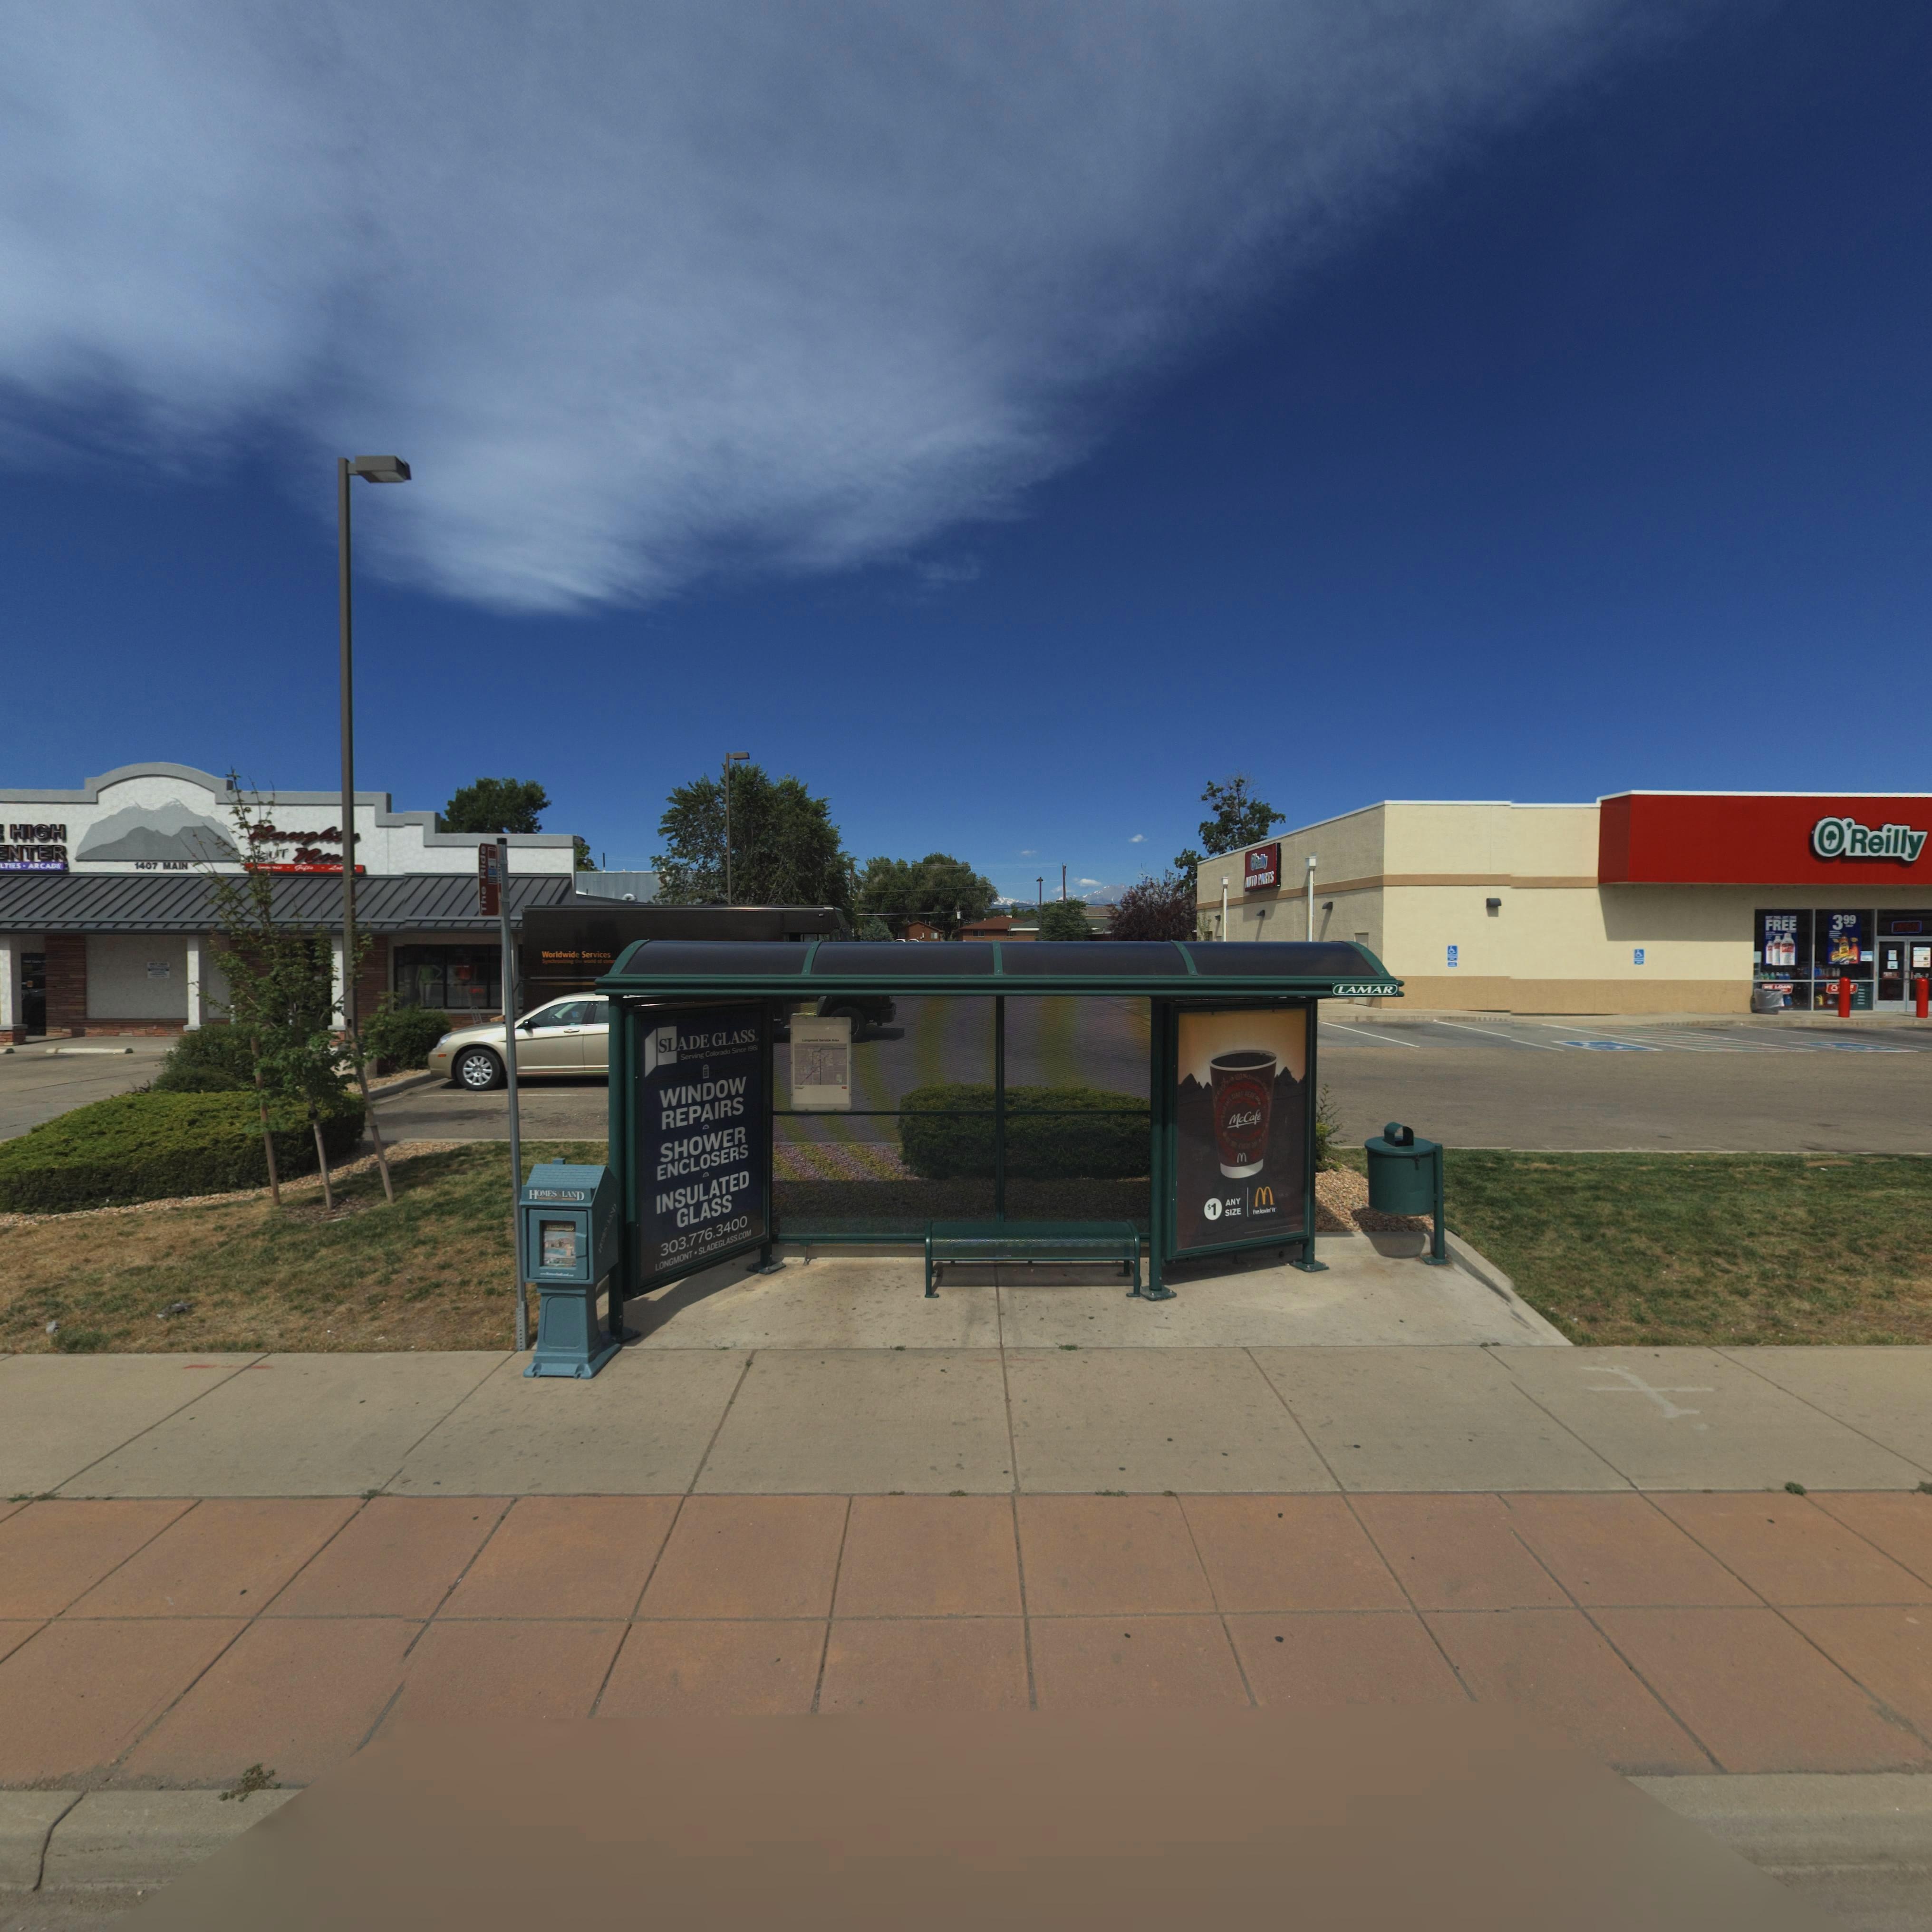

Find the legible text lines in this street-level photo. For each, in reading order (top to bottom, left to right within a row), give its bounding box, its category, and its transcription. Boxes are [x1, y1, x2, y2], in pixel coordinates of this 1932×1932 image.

[10, 823, 66, 840] BusinessName: HIGH
[246, 823, 338, 846] BusinessName: *angh
[1817, 820, 1926, 860] BusinessName: O'Reilly
[8, 844, 66, 860] BusinessName: NTER
[134, 861, 157, 869] StreetNumber: 1407
[163, 861, 188, 869] StreetName: MAIN
[256, 846, 341, 864] BusinessName: *UT Nic
[1250, 853, 1267, 870] BusinessName: O'Re*lly
[1244, 869, 1275, 889] BusinessName: AUTO PARTS